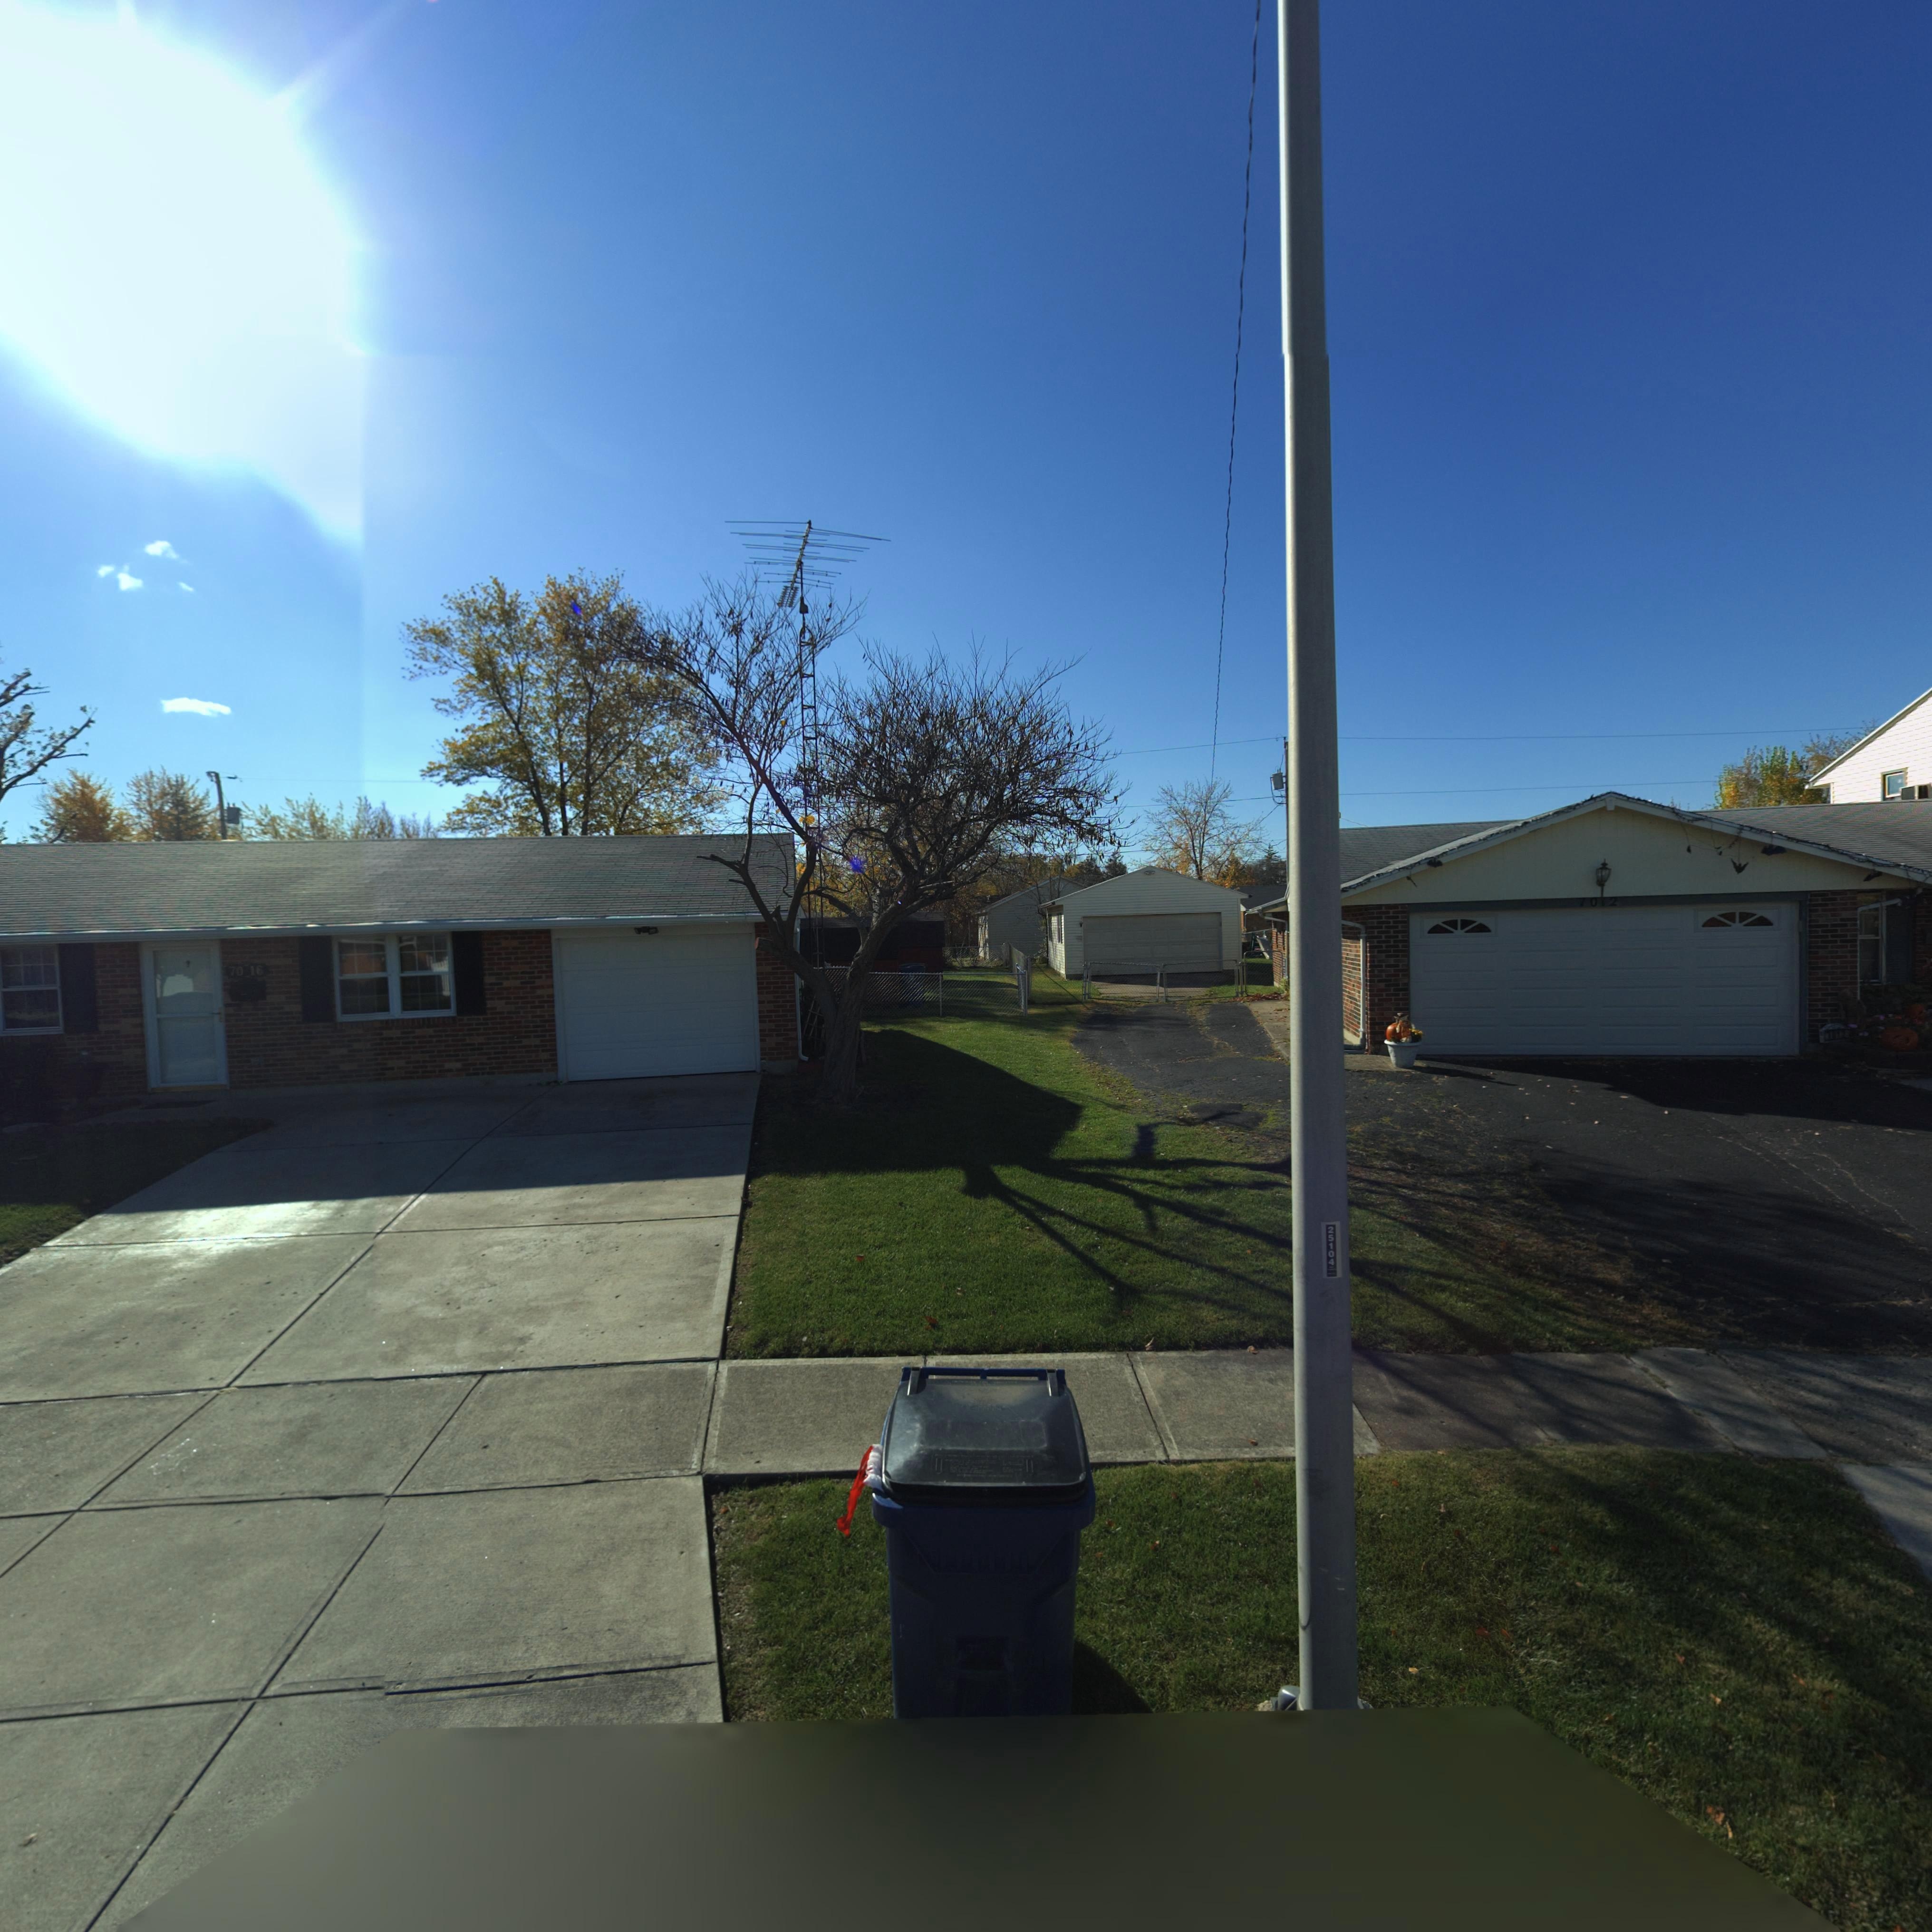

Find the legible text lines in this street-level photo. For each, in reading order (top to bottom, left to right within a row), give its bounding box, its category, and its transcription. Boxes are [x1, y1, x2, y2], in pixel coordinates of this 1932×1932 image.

[1578, 897, 1619, 908] StreetNumber: 7012
[229, 965, 264, 977] StreetNumber: 70*16